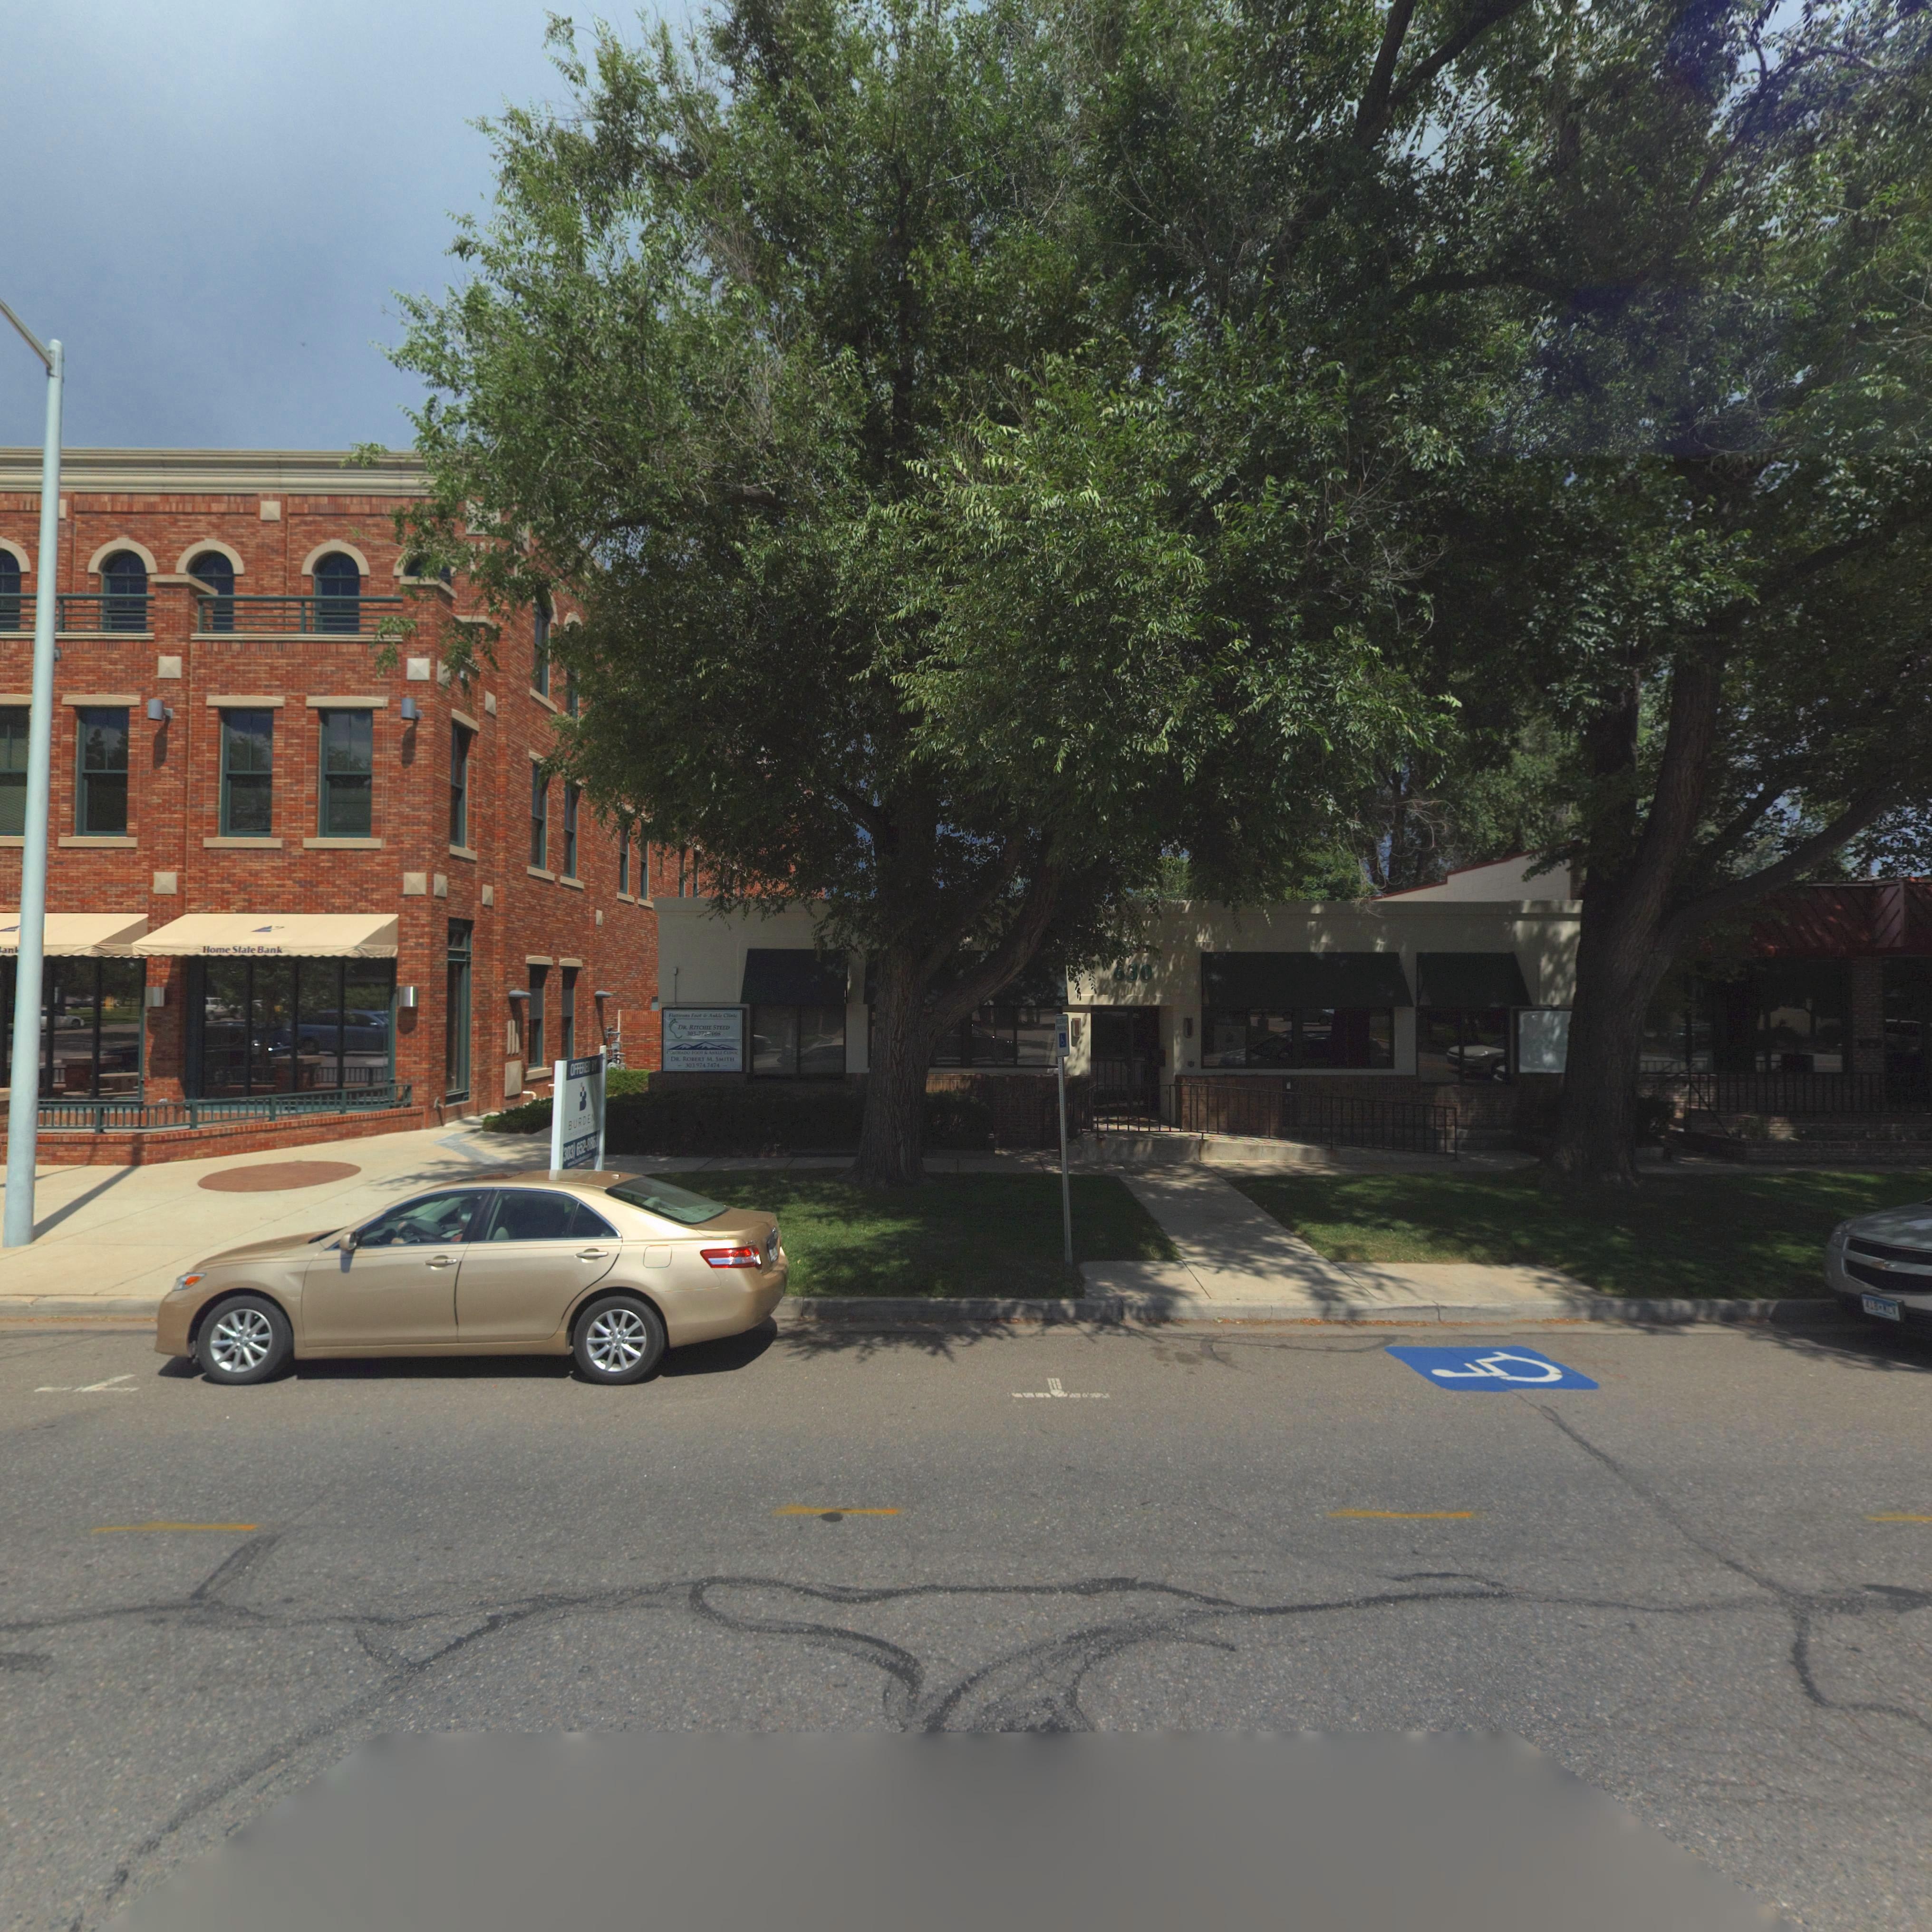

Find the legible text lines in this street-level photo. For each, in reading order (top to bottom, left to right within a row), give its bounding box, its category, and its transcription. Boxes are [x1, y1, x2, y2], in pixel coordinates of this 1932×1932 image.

[1, 947, 14, 953] BusinessName: an
[203, 945, 284, 954] BusinessName: Home State Bank
[1113, 963, 1153, 981] StreetNumber: 630
[668, 1013, 739, 1018] BusinessName: Fatiron*s Fo*t & A**le C****c
[678, 1024, 730, 1030] BusinessName: DR. RITCHIE STEED
[666, 1050, 739, 1055] BusinessName: COLORADO FOOT & ANKLE CLINIC
[670, 1056, 734, 1062] BusinessName: DR. ROBERT M. SMITH